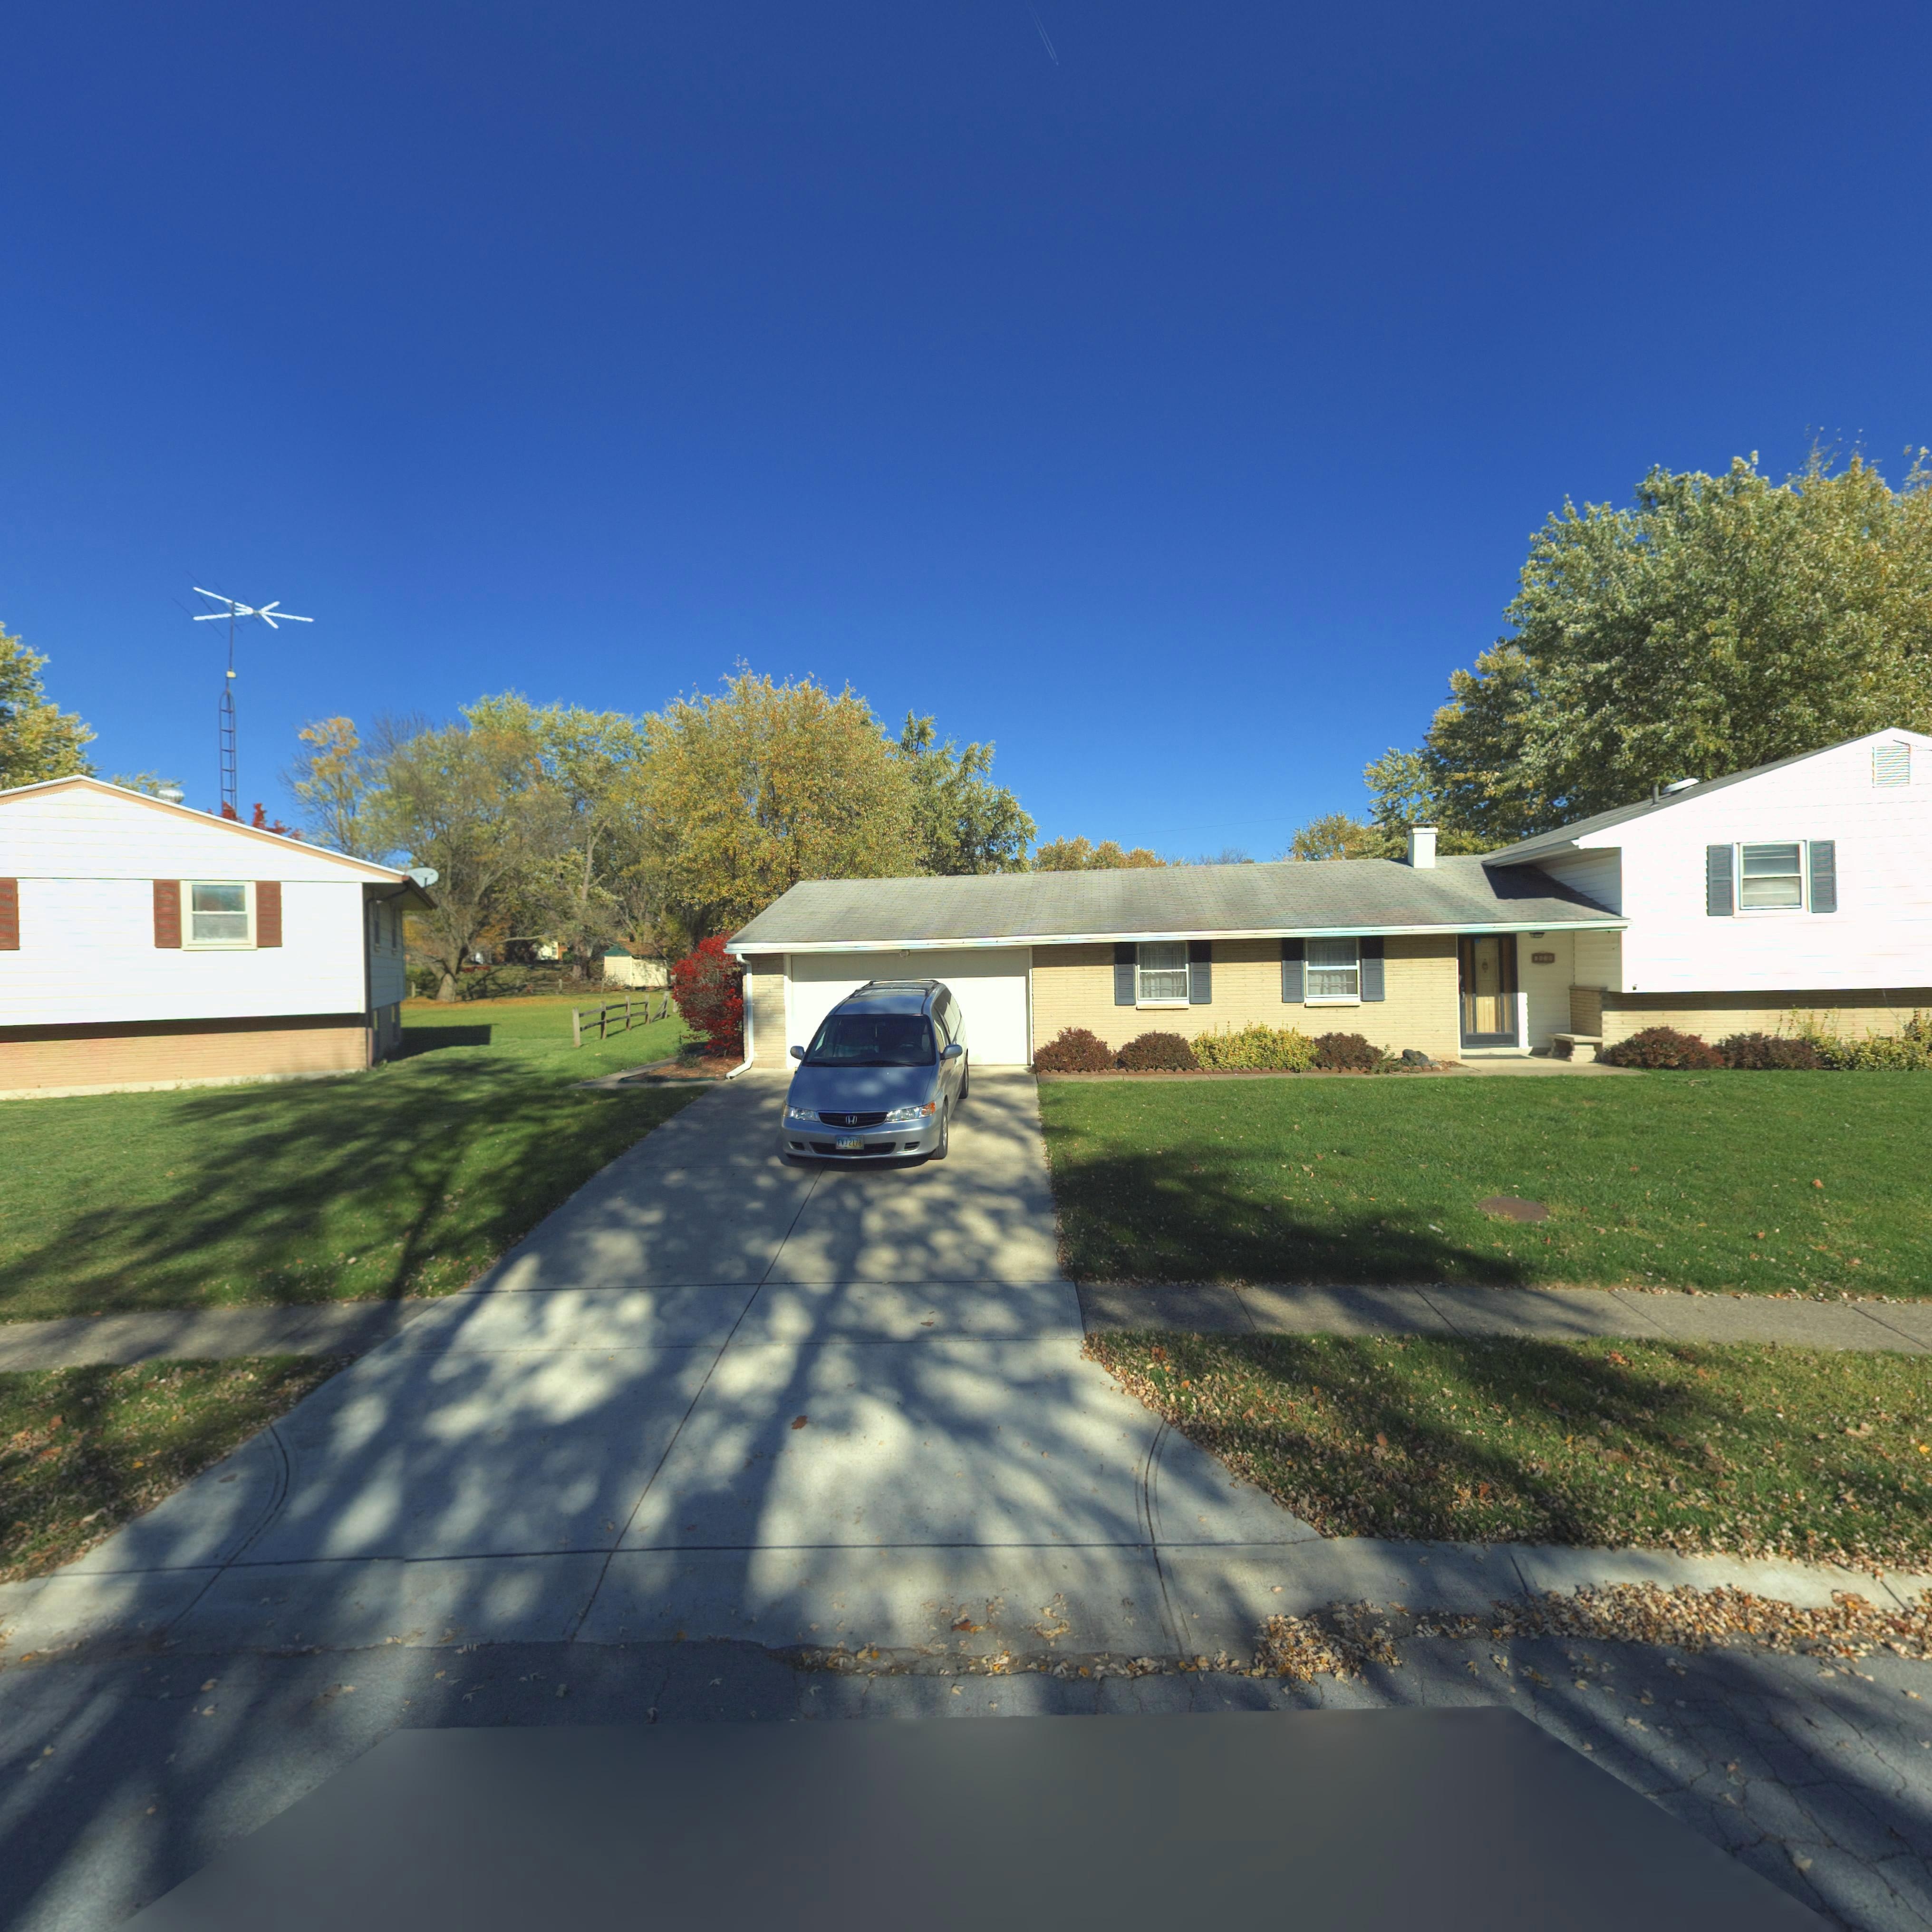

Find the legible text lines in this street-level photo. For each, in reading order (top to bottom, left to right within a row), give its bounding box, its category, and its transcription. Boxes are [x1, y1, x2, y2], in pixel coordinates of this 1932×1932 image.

[1534, 955, 1553, 961] StreetNumber: 30*0
[837, 1138, 862, 1147] None: FVJ*2178